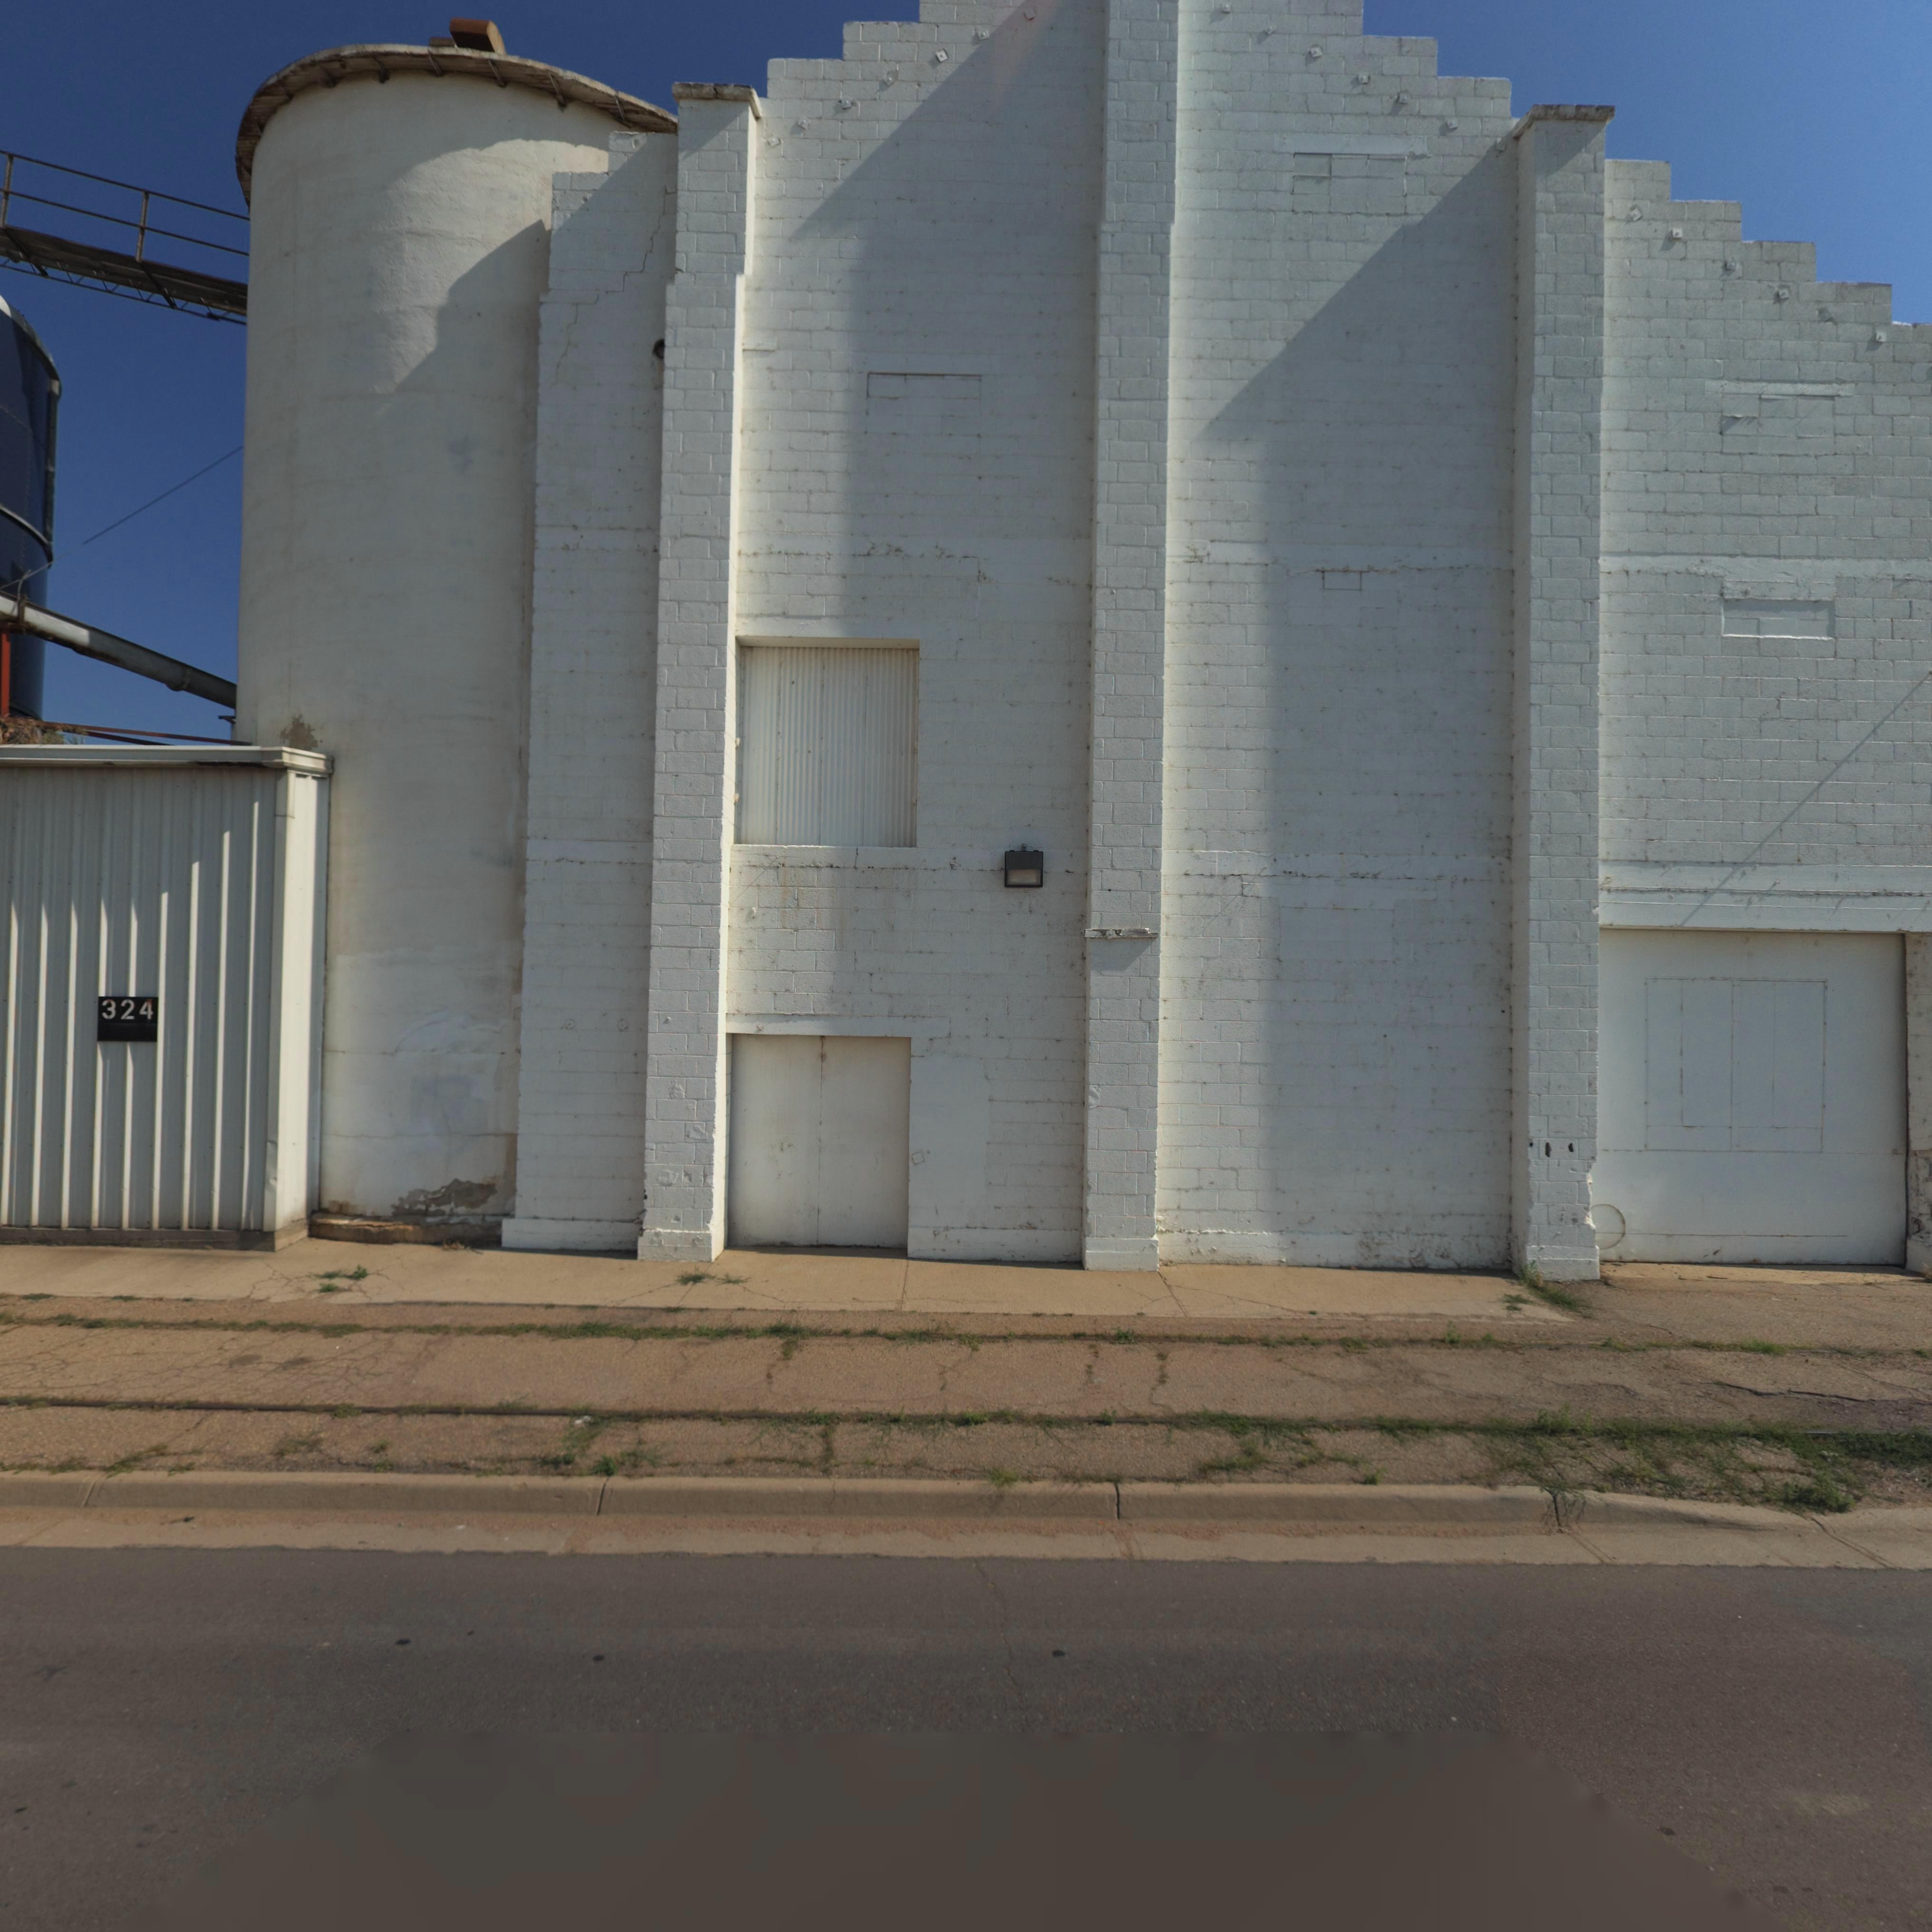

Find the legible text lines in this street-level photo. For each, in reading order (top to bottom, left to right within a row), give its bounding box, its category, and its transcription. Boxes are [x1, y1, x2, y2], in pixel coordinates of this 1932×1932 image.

[101, 998, 153, 1019] StreetNumber: 324